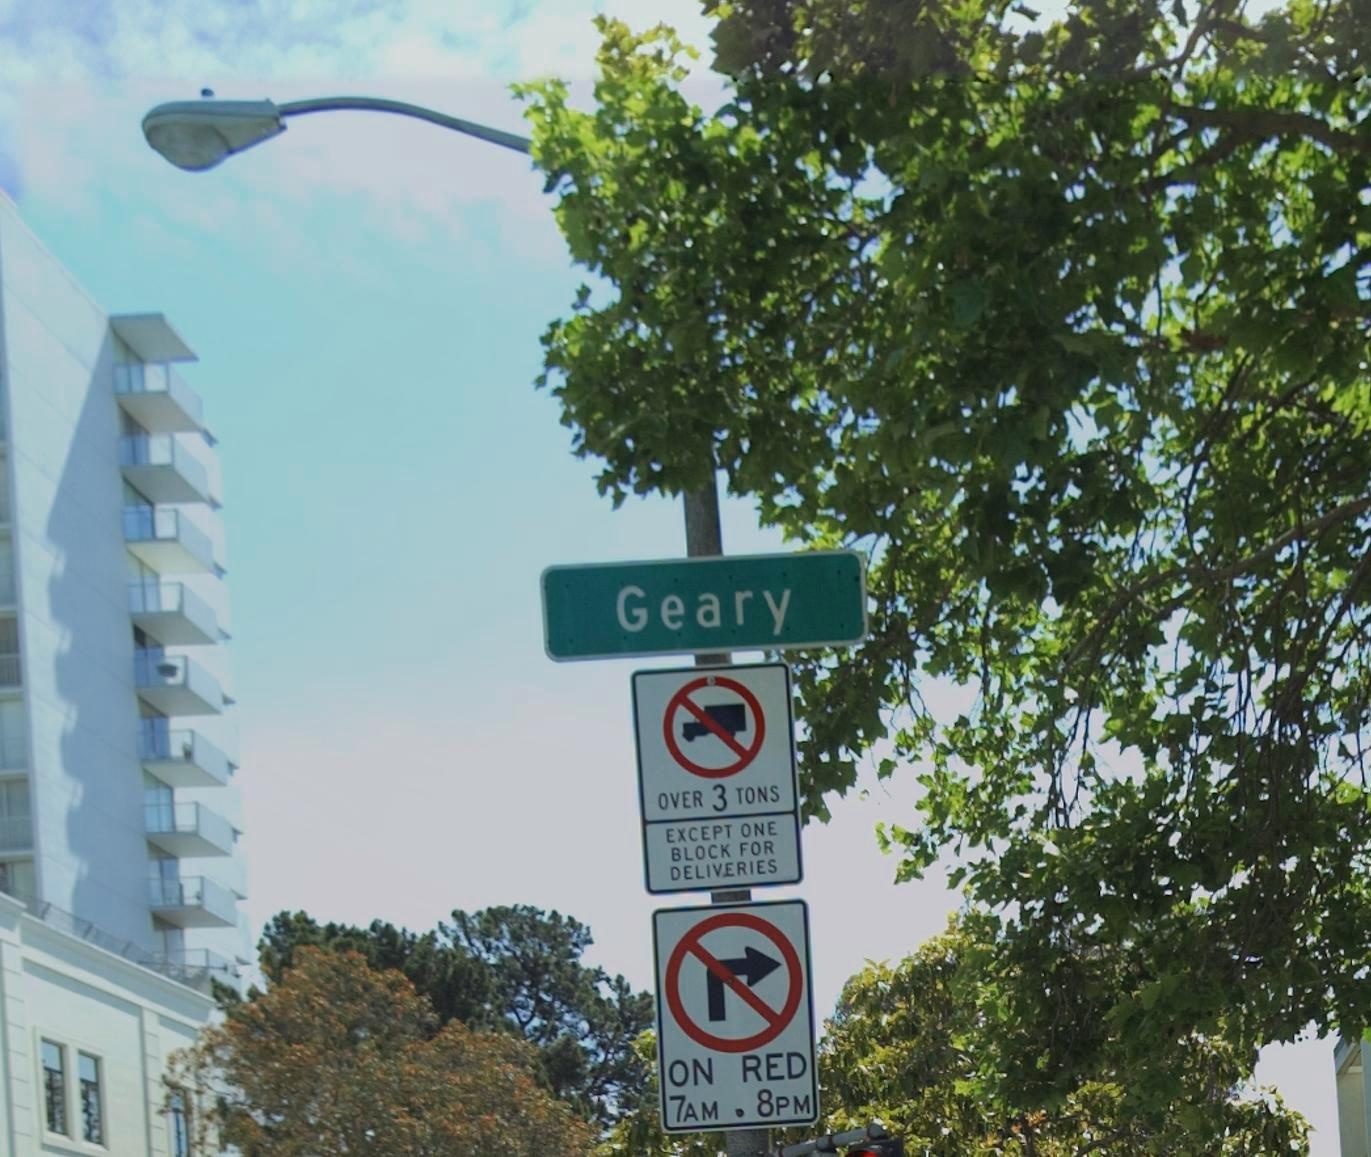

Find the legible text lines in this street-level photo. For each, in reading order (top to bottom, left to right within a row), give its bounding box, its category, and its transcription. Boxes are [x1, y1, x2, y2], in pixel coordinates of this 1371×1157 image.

[611, 583, 795, 640] StreetName: Geary
[654, 780, 782, 815] None: OVER 3 TONS
[659, 819, 778, 844] None: EXCEPT ONE
[667, 838, 776, 863] None: BLOCK FOR
[668, 857, 779, 883] None: DELIVERIES
[665, 1048, 808, 1088] None: ON RED
[667, 1085, 812, 1124] None: 7AM * 8PM